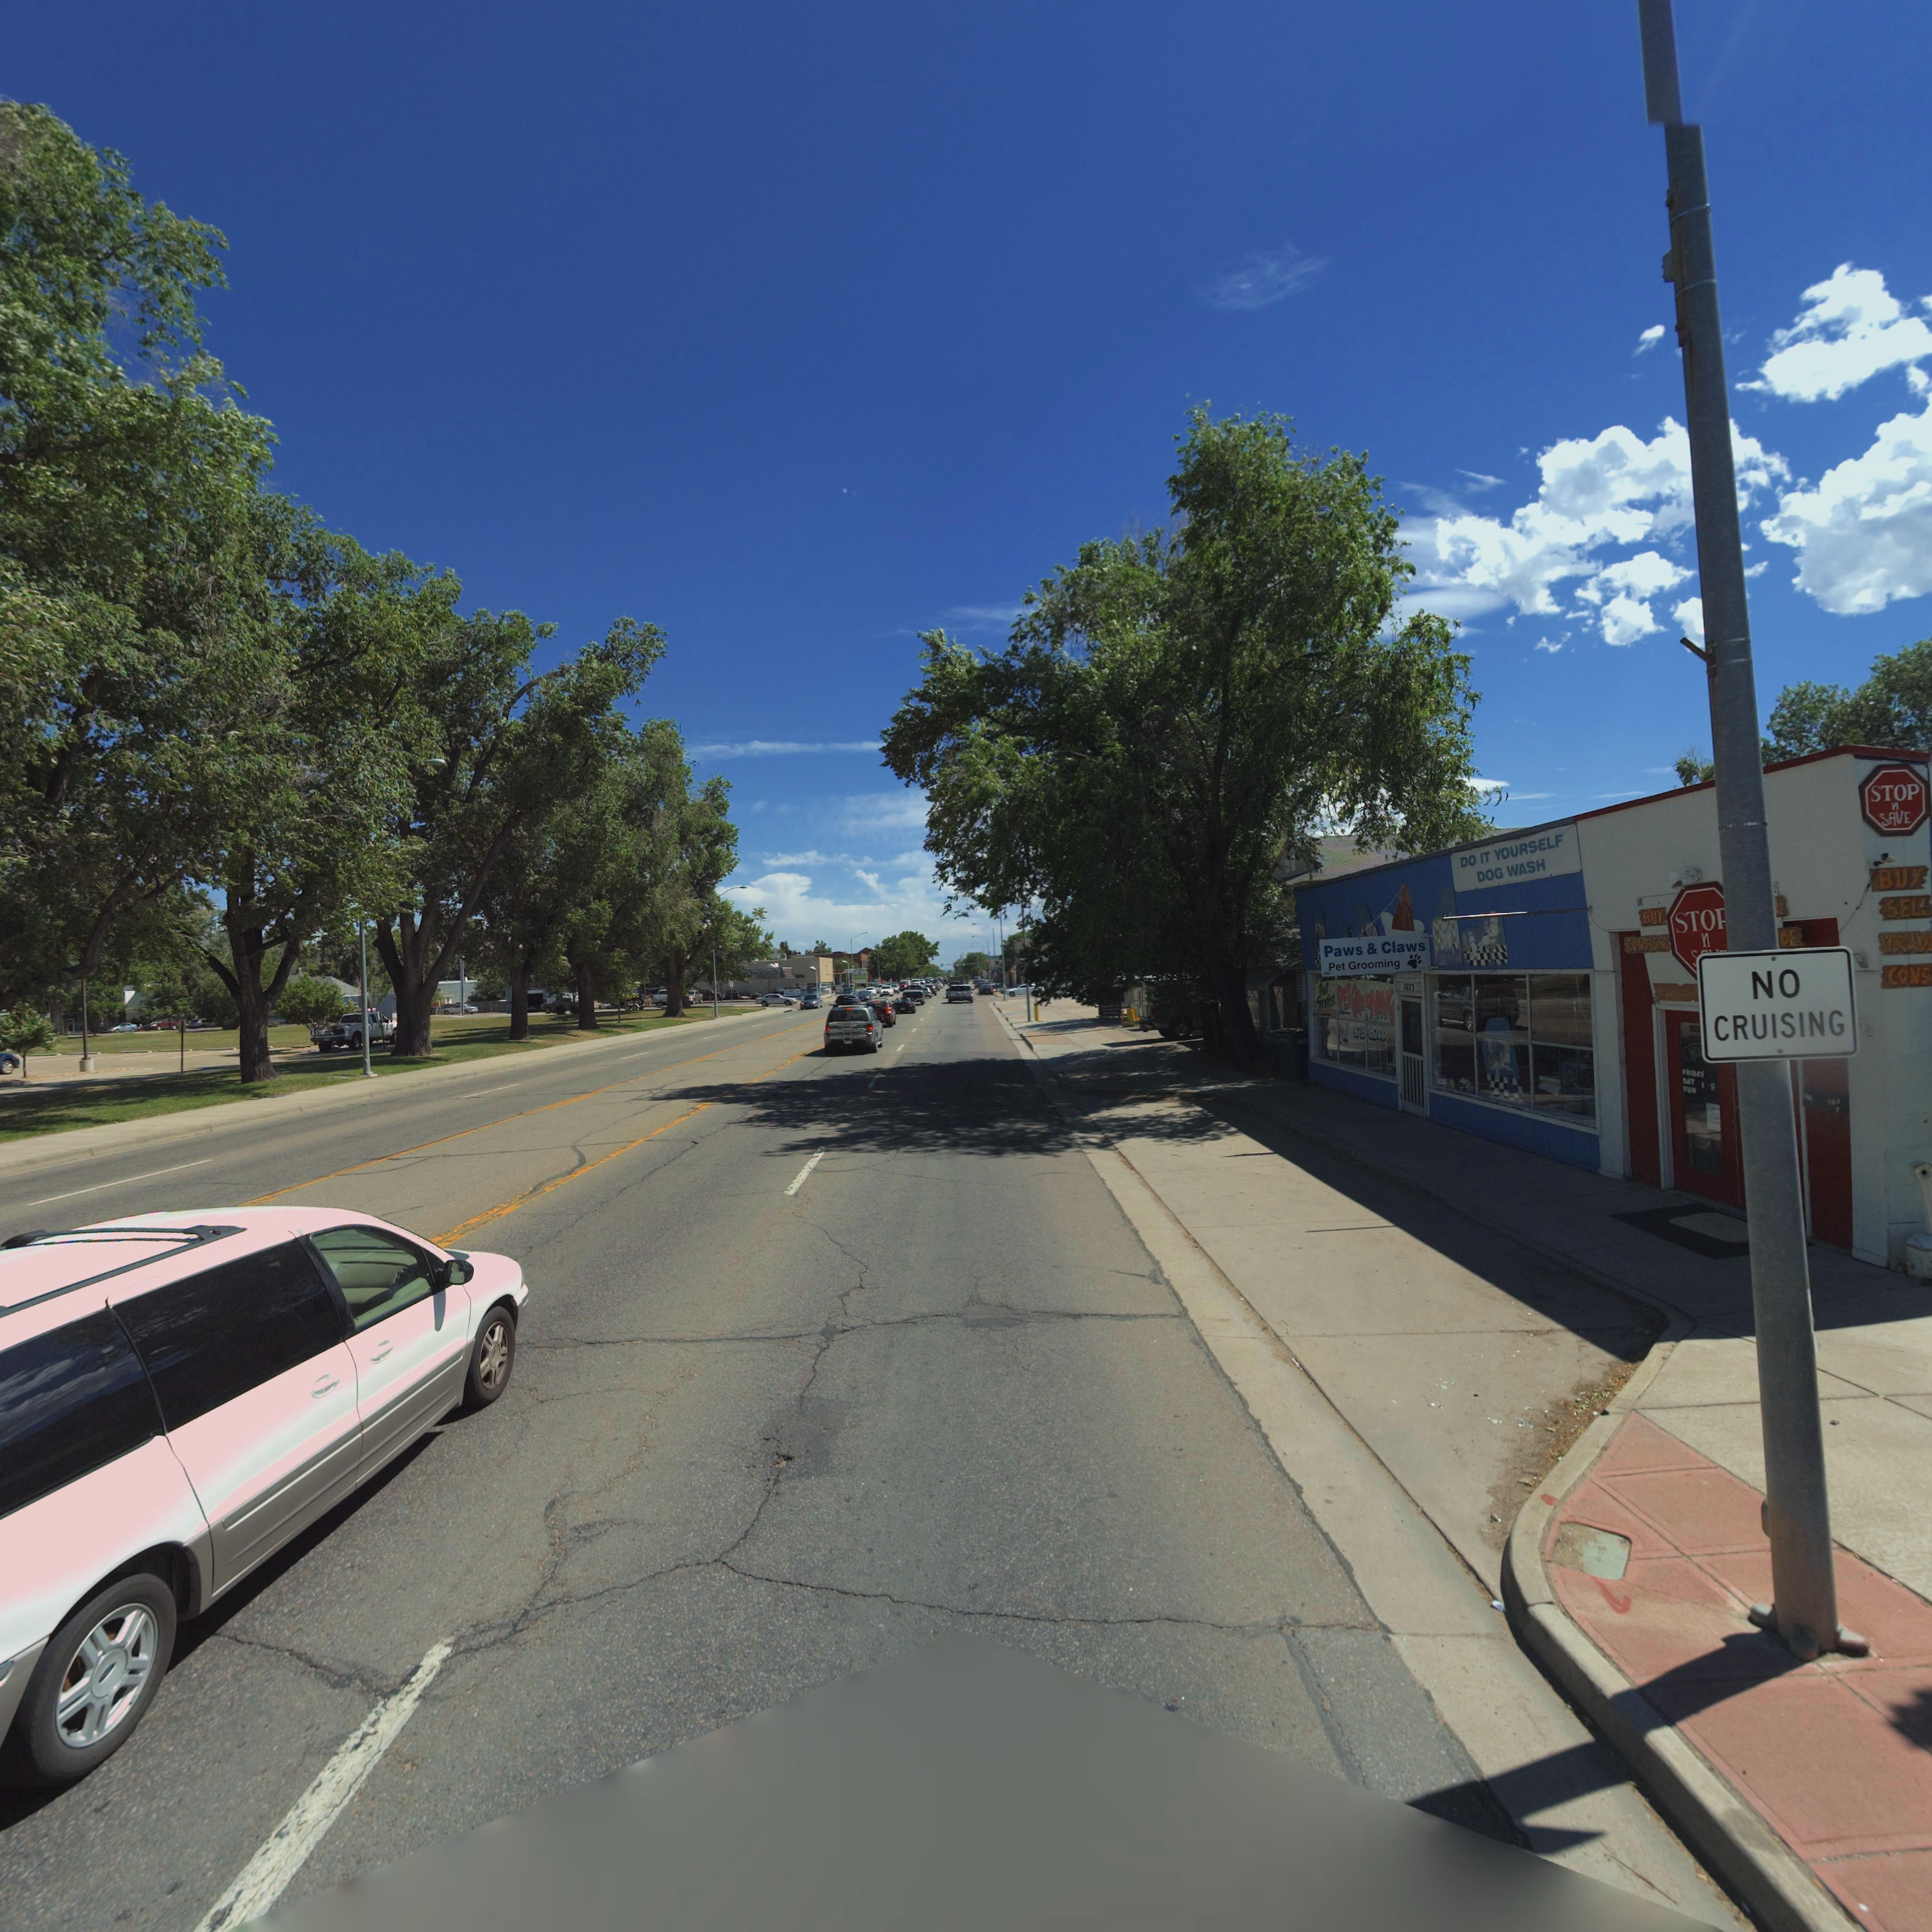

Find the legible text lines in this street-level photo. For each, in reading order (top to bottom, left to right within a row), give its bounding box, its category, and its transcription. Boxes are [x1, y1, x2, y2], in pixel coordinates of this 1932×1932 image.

[1870, 783, 1920, 802] BusinessName: STOP
[1892, 802, 1899, 811] BusinessName: n
[1878, 810, 1911, 826] BusinessName: SAVE
[1700, 932, 1711, 947] BusinessName: n
[1323, 941, 1426, 958] BusinessName: Paws & Claws
[1328, 958, 1400, 971] BusinessName: Pet Grooming
[1403, 983, 1415, 991] StreetNumber: 1023